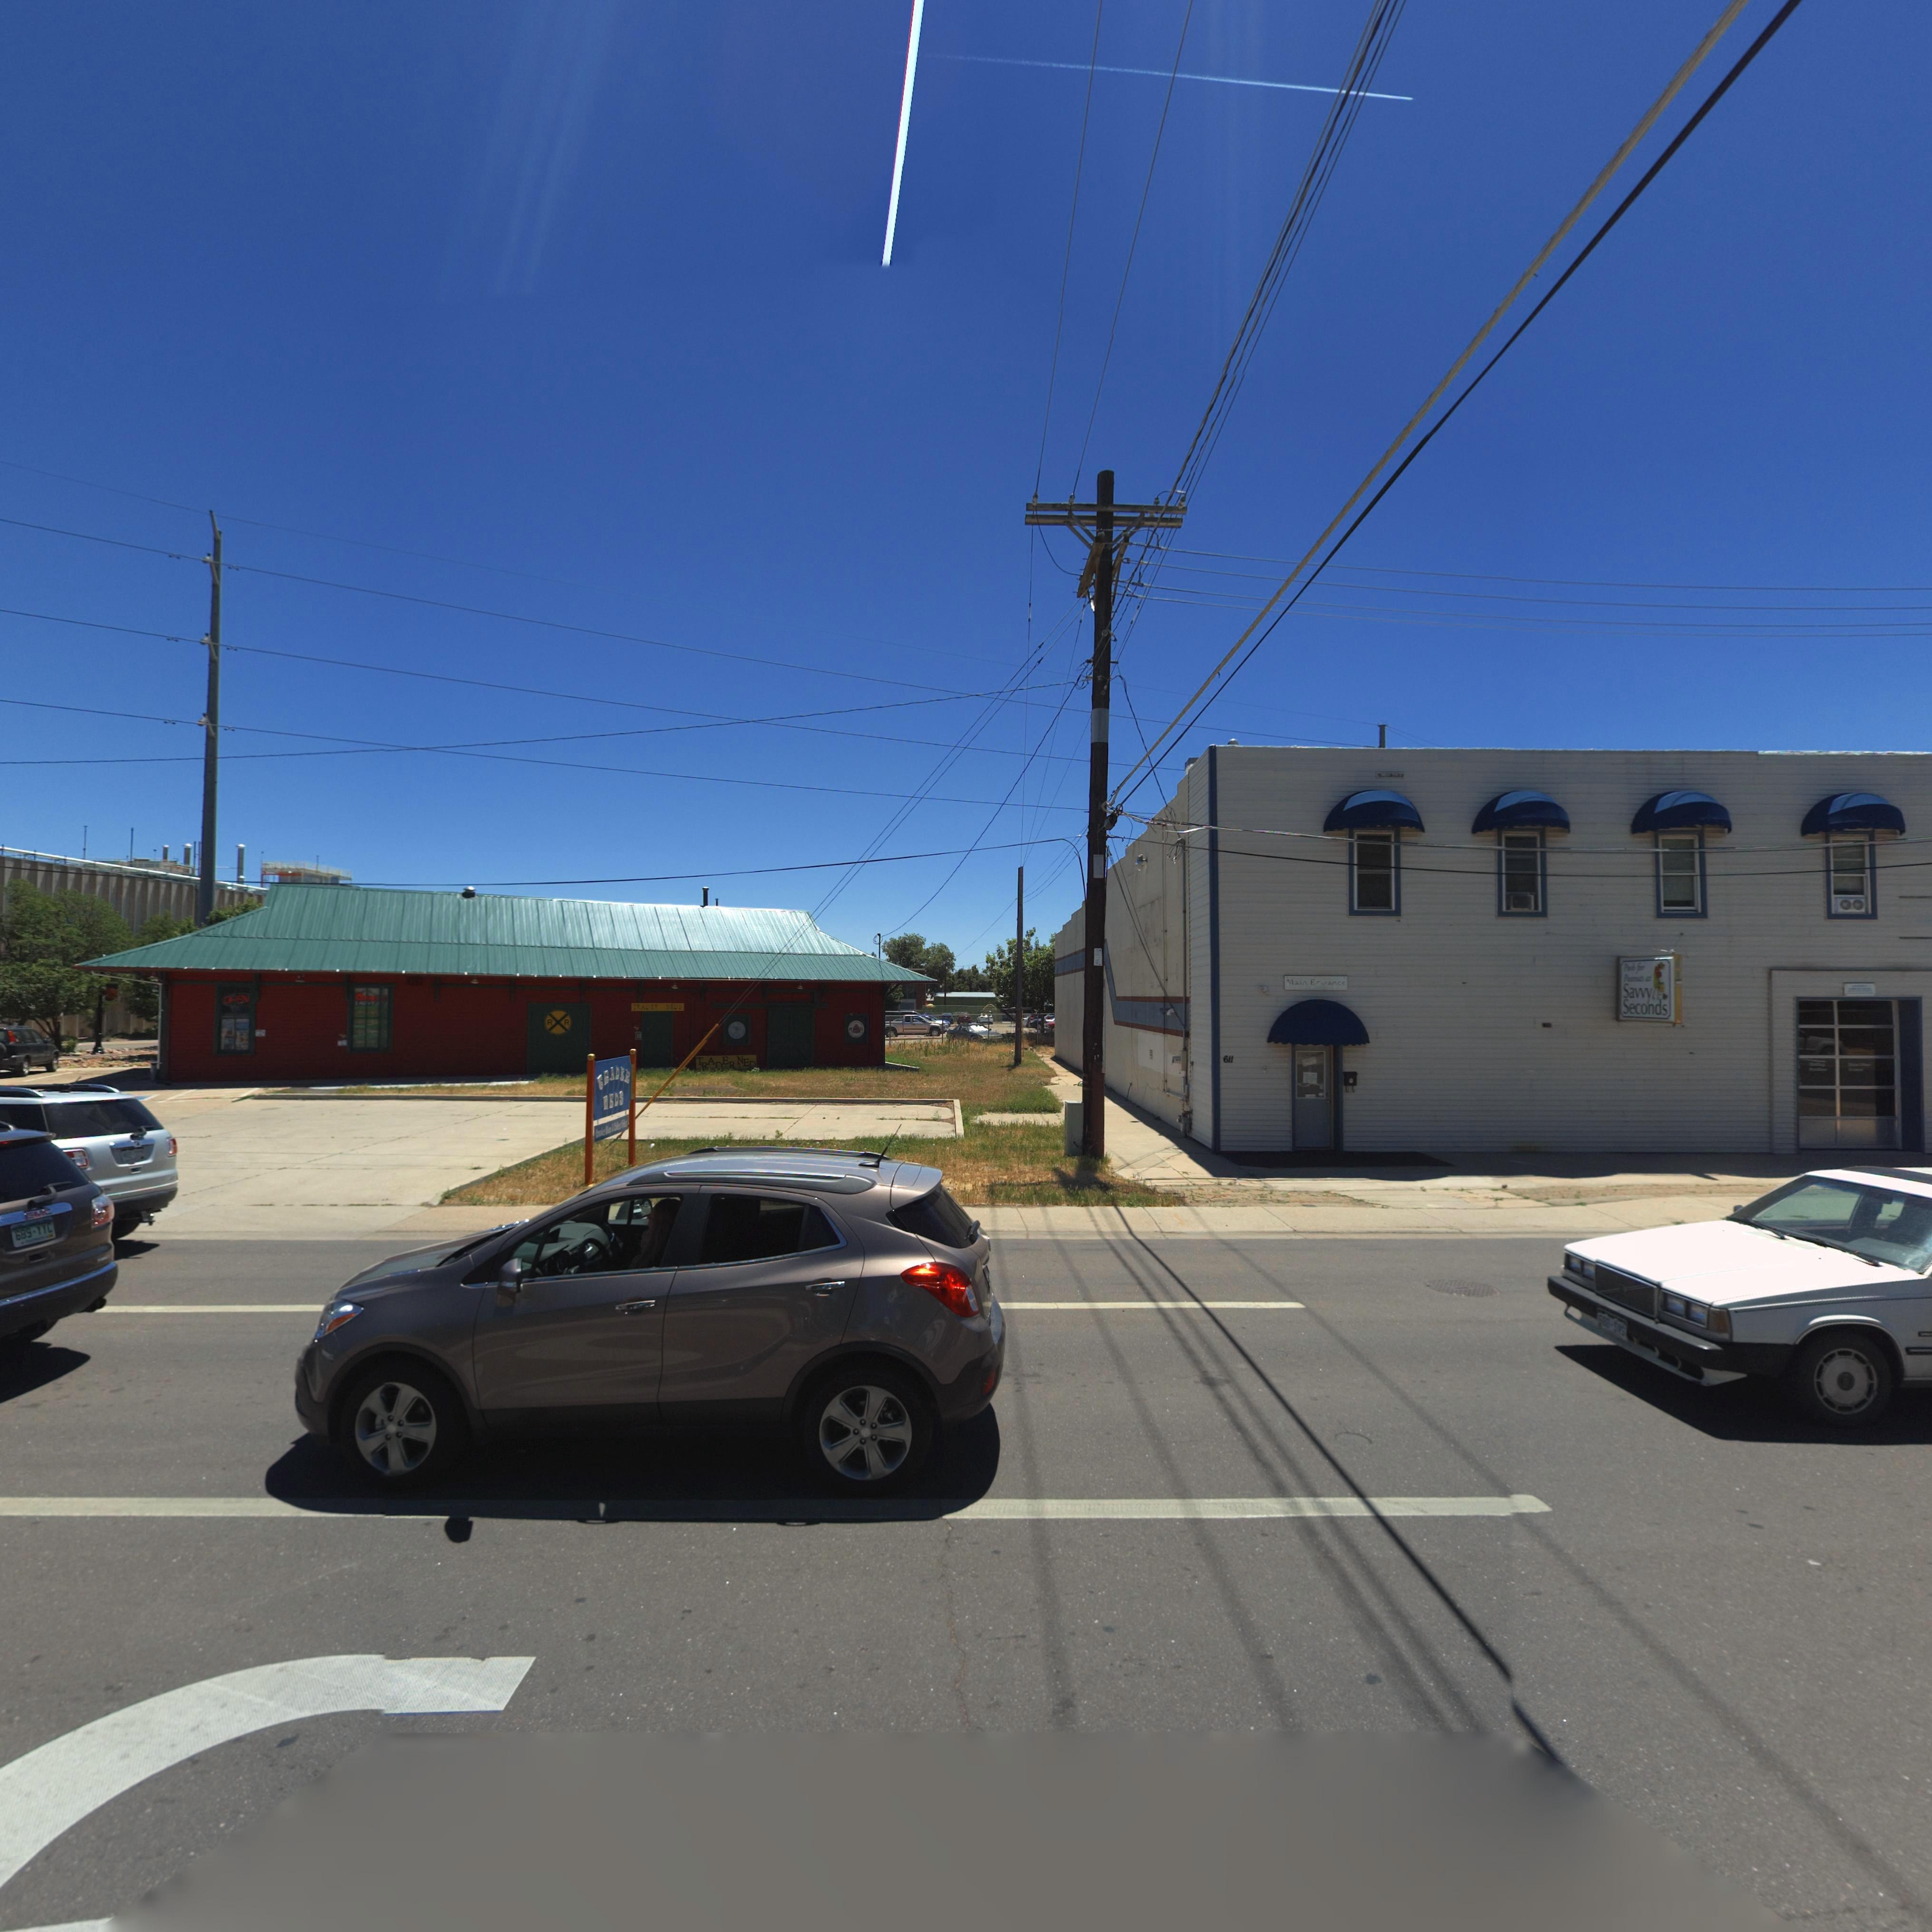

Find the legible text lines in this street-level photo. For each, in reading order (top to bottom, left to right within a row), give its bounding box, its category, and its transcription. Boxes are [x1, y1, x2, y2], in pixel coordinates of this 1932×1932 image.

[1623, 982, 1653, 1004] BusinessName: Savvy
[632, 1003, 683, 1010] BusinessName: TRADER NEDS
[1623, 997, 1669, 1016] BusinessName: Seconds
[696, 1055, 756, 1071] BusinessName: TRADER NED
[1223, 1055, 1234, 1063] StreetNumber: 611
[596, 1065, 630, 1091] BusinessName: TRADER
[602, 1090, 624, 1110] BusinessName: nEDS